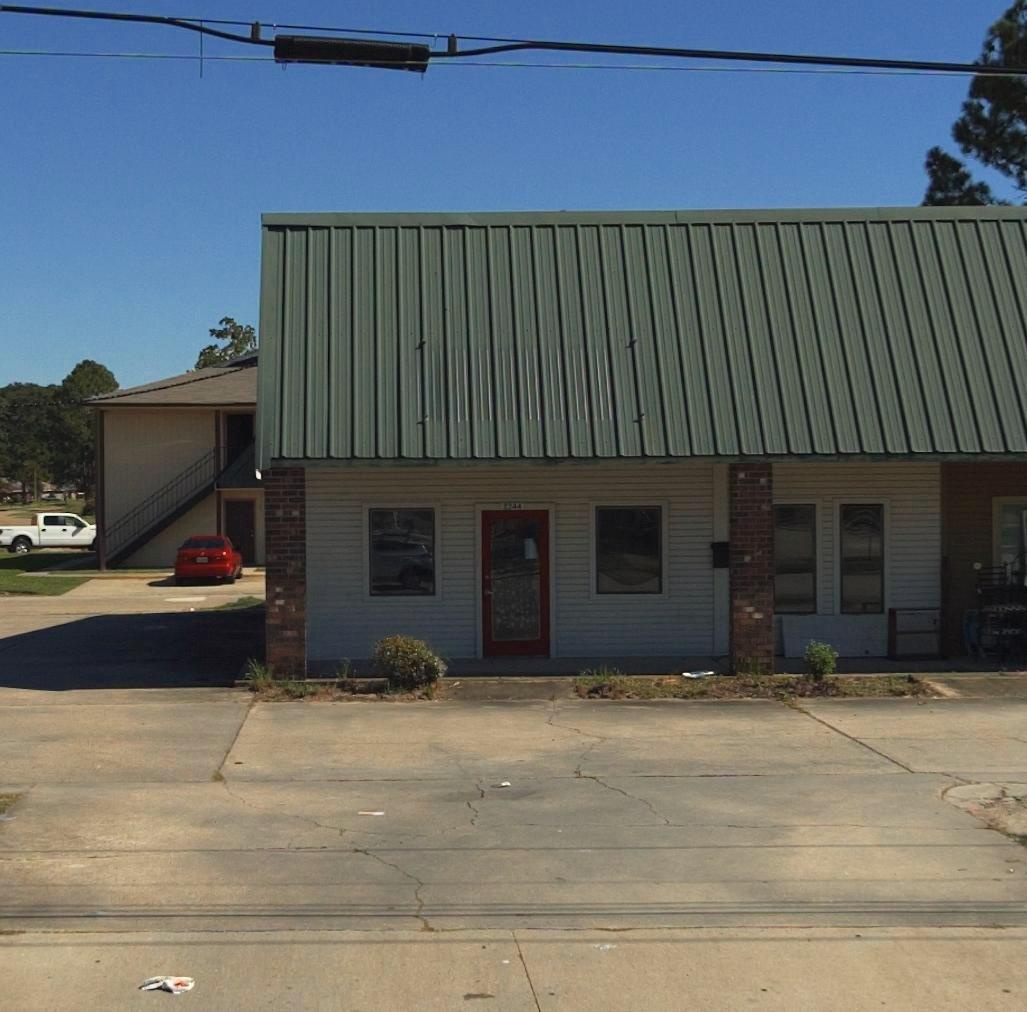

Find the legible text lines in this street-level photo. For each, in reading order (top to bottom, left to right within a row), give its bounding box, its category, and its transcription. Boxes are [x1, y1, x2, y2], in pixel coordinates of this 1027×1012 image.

[503, 502, 523, 510] StreetNumber: 2244